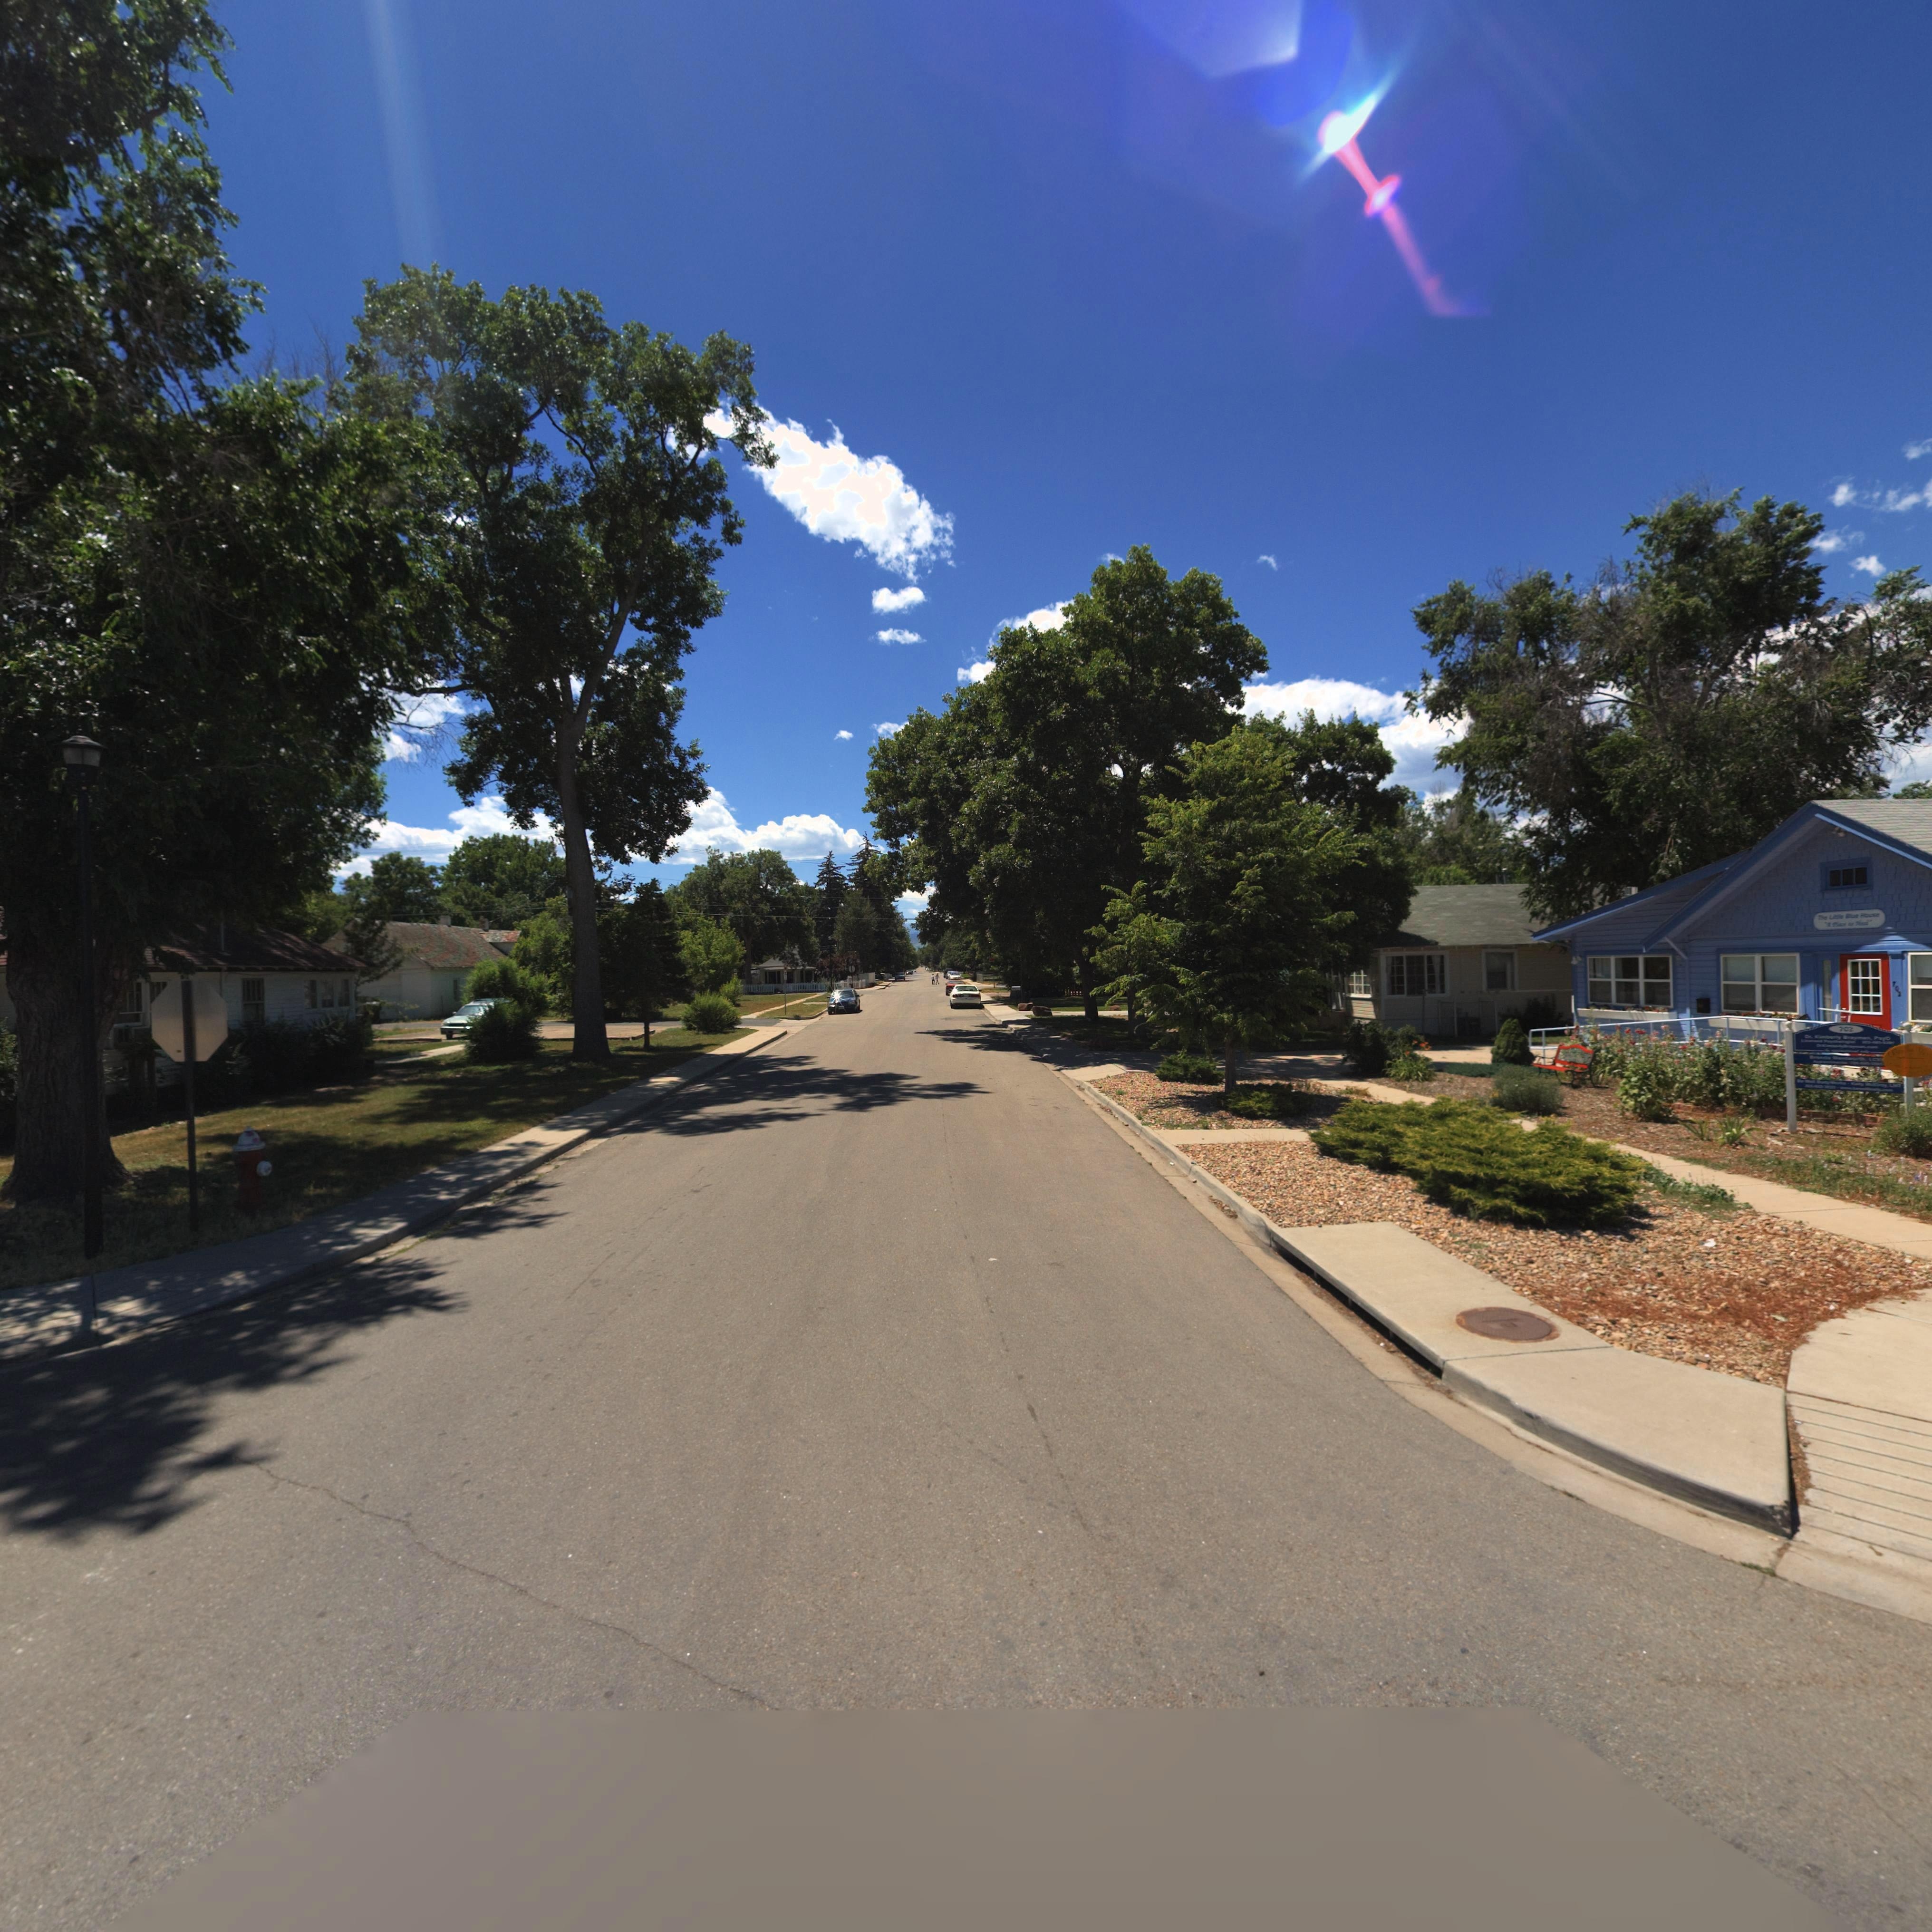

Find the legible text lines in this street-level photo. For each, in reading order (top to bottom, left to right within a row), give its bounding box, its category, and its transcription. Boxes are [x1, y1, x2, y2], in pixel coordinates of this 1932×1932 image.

[1892, 980, 1902, 997] StreetNumber: 702
[1838, 1026, 1854, 1032] StreetNumber: 702